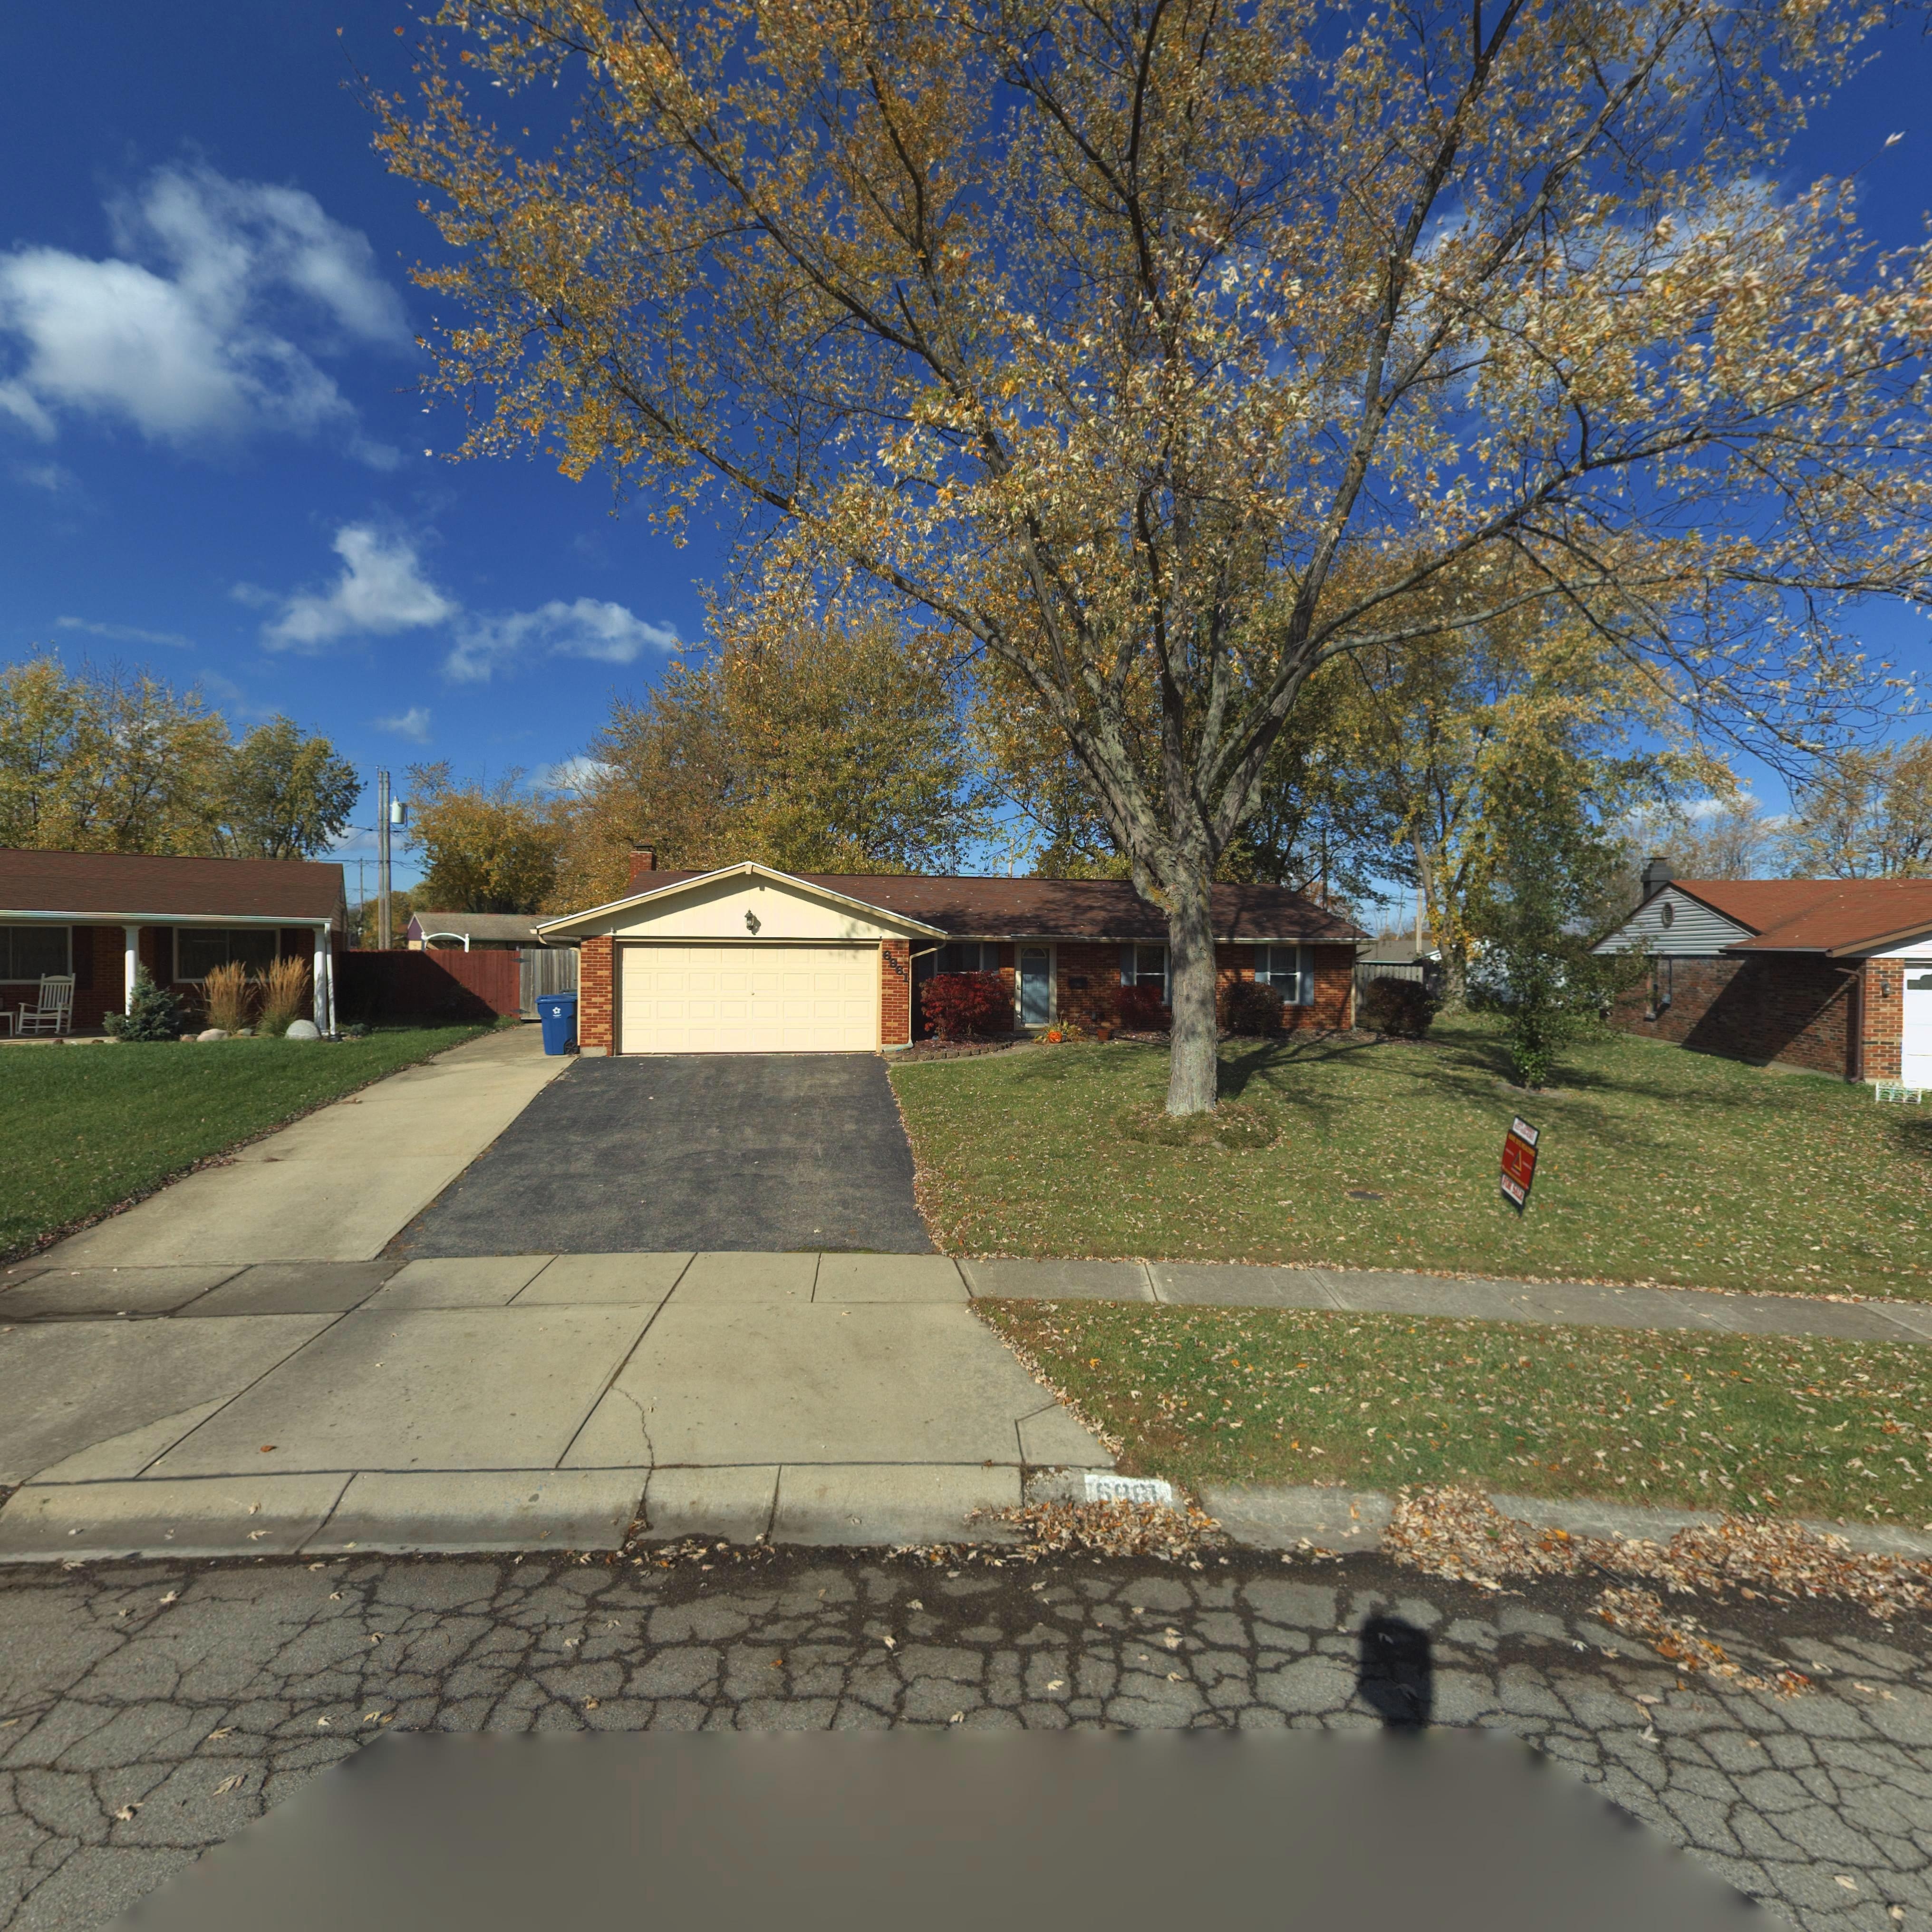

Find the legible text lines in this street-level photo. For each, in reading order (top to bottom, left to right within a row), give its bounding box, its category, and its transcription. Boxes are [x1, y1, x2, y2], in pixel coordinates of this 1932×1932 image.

[881, 949, 909, 983] StreetNumber: 6961